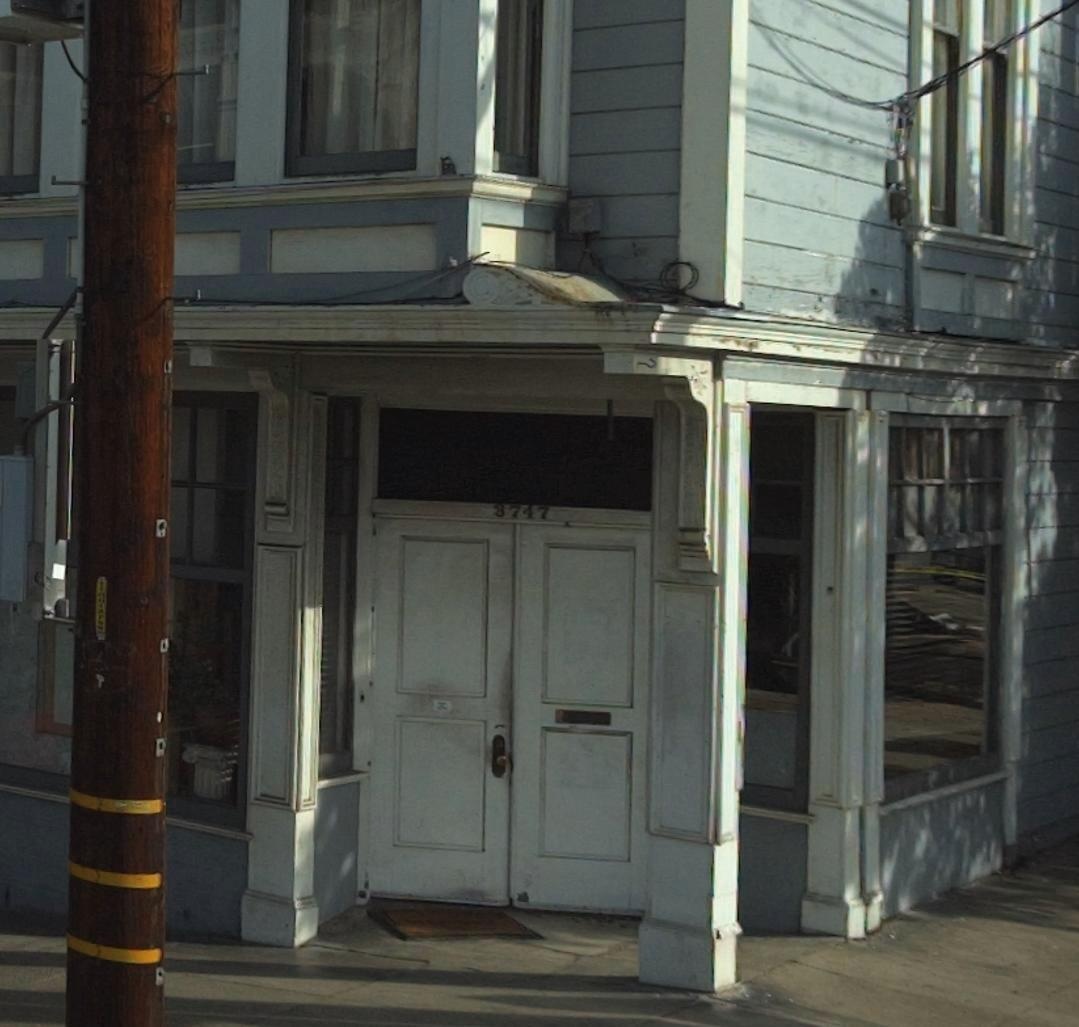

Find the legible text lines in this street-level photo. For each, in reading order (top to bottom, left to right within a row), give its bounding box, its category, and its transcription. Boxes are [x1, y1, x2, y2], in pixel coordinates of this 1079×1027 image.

[492, 503, 551, 520] StreetNumber: 3747